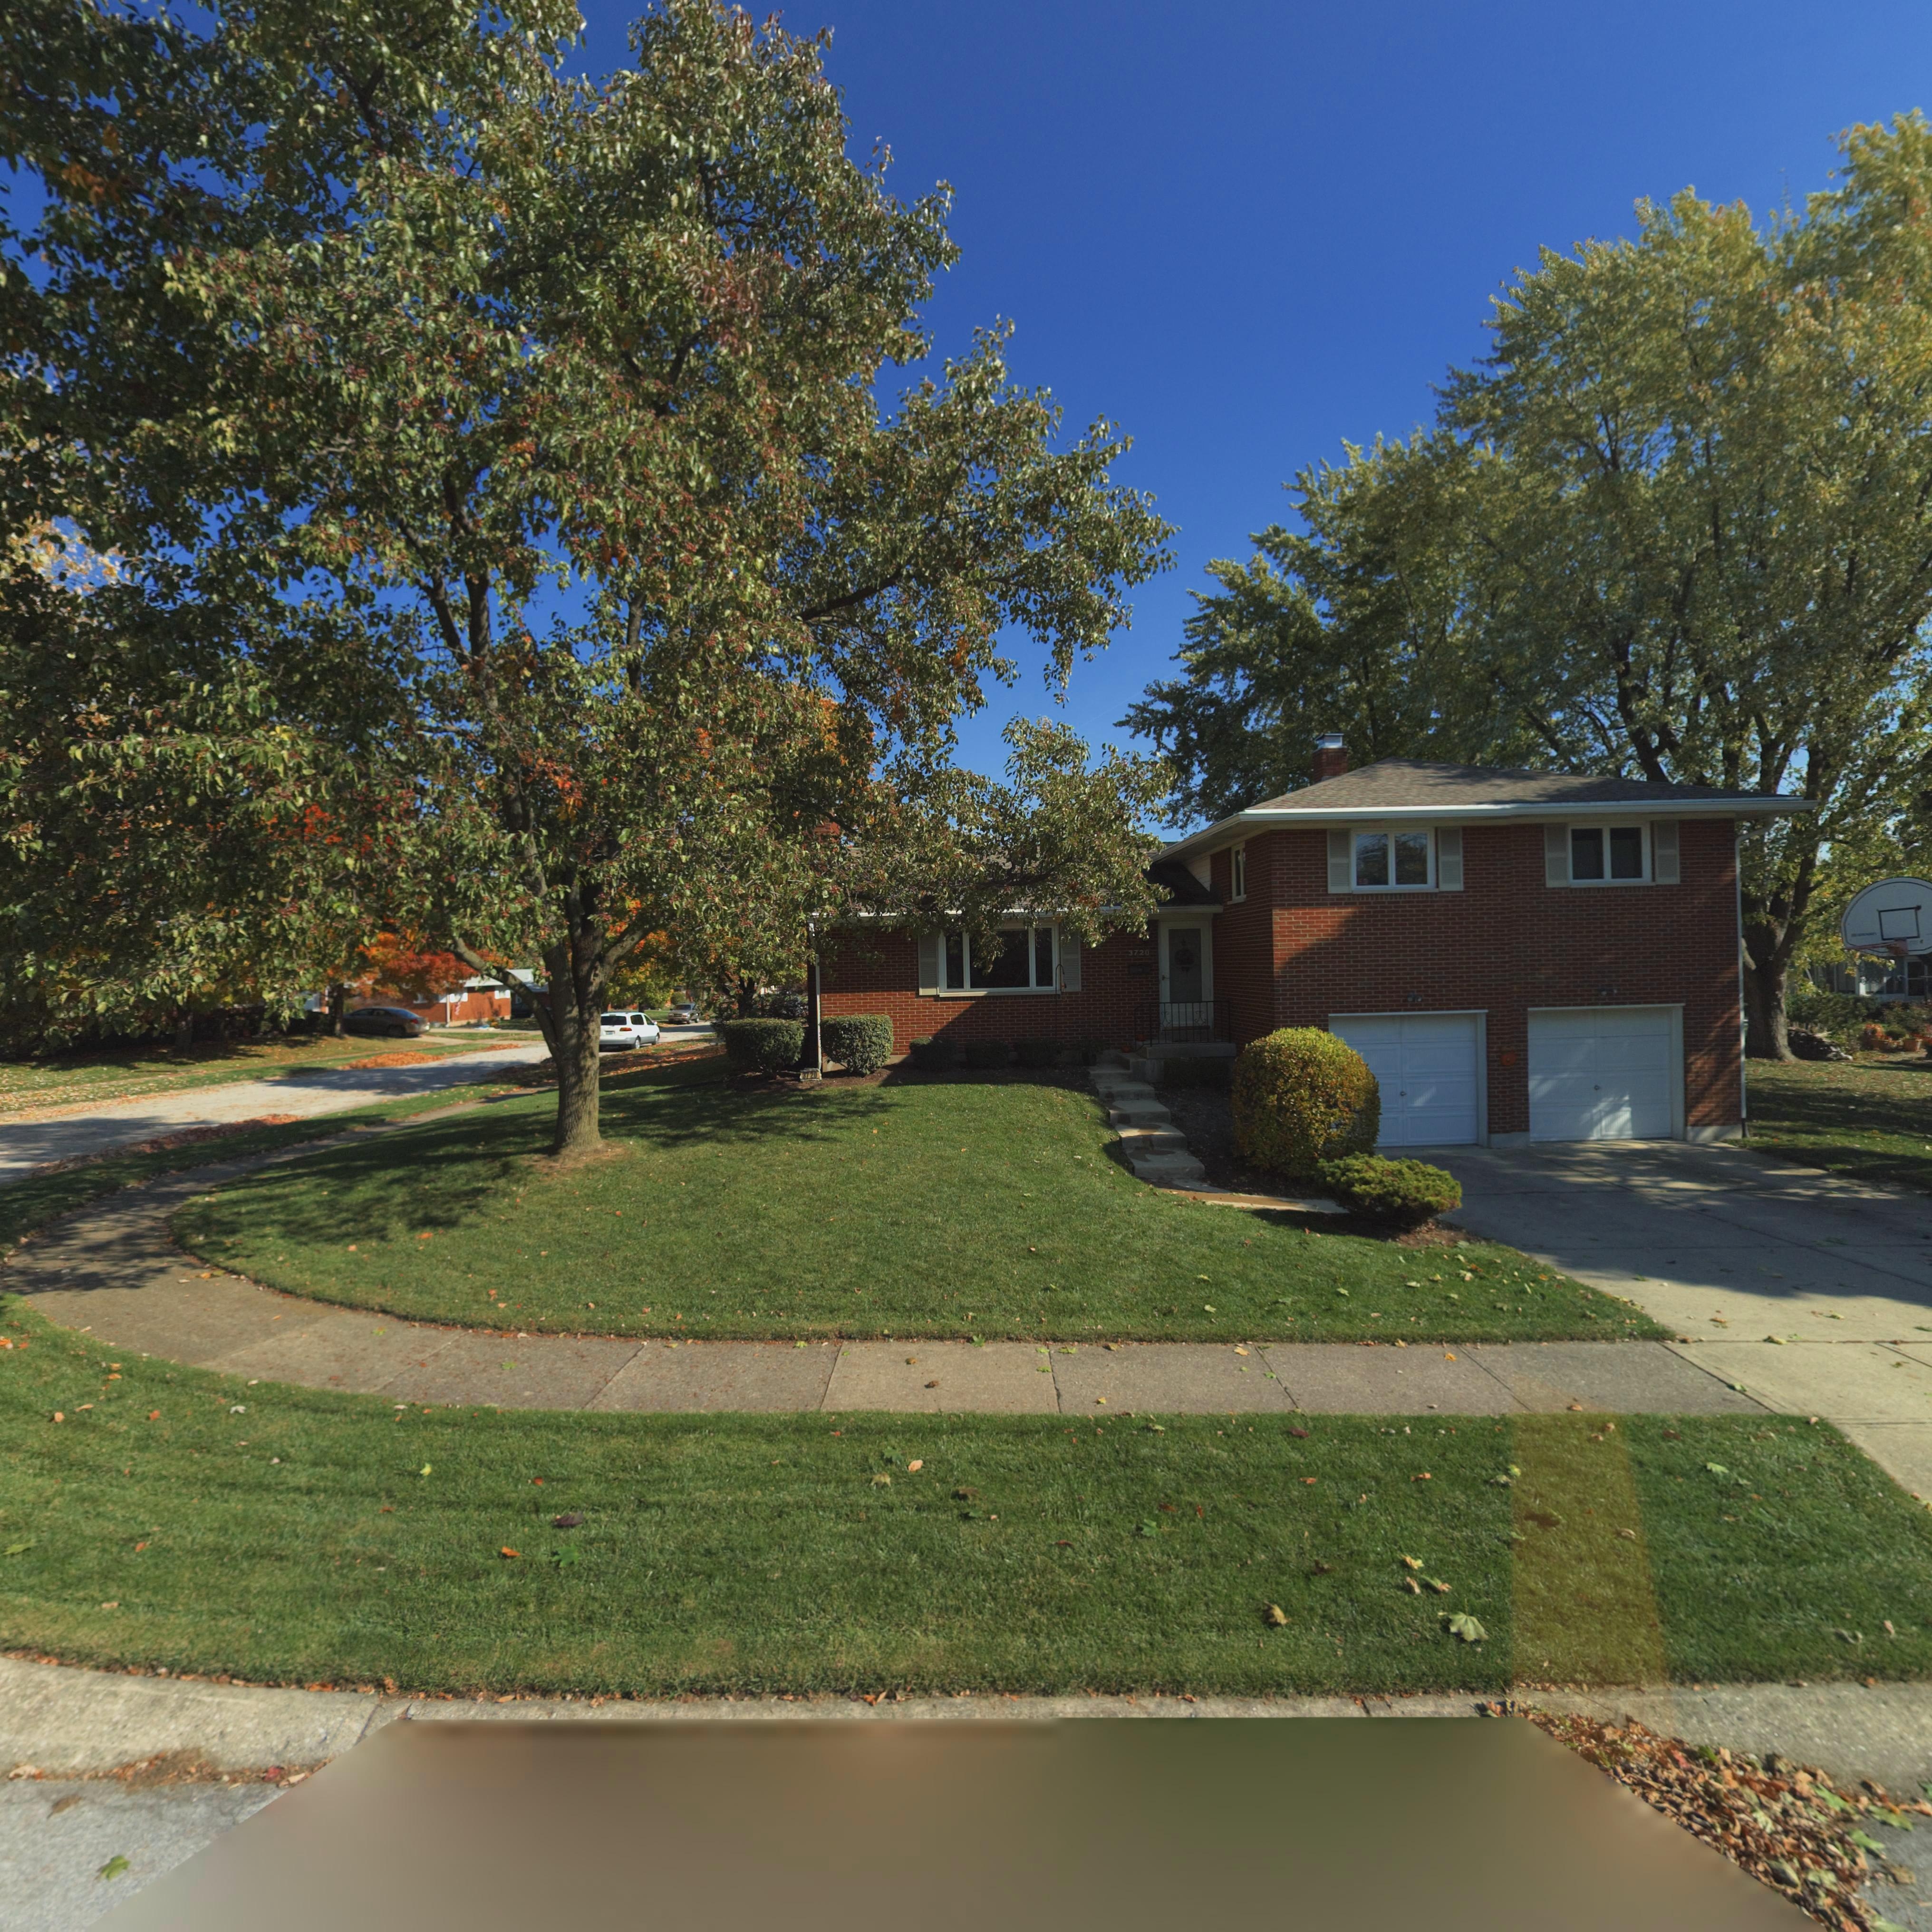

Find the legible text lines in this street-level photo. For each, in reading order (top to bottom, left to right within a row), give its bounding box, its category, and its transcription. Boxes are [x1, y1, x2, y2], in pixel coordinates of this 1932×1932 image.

[1129, 949, 1149, 956] StreetNumber: 3720